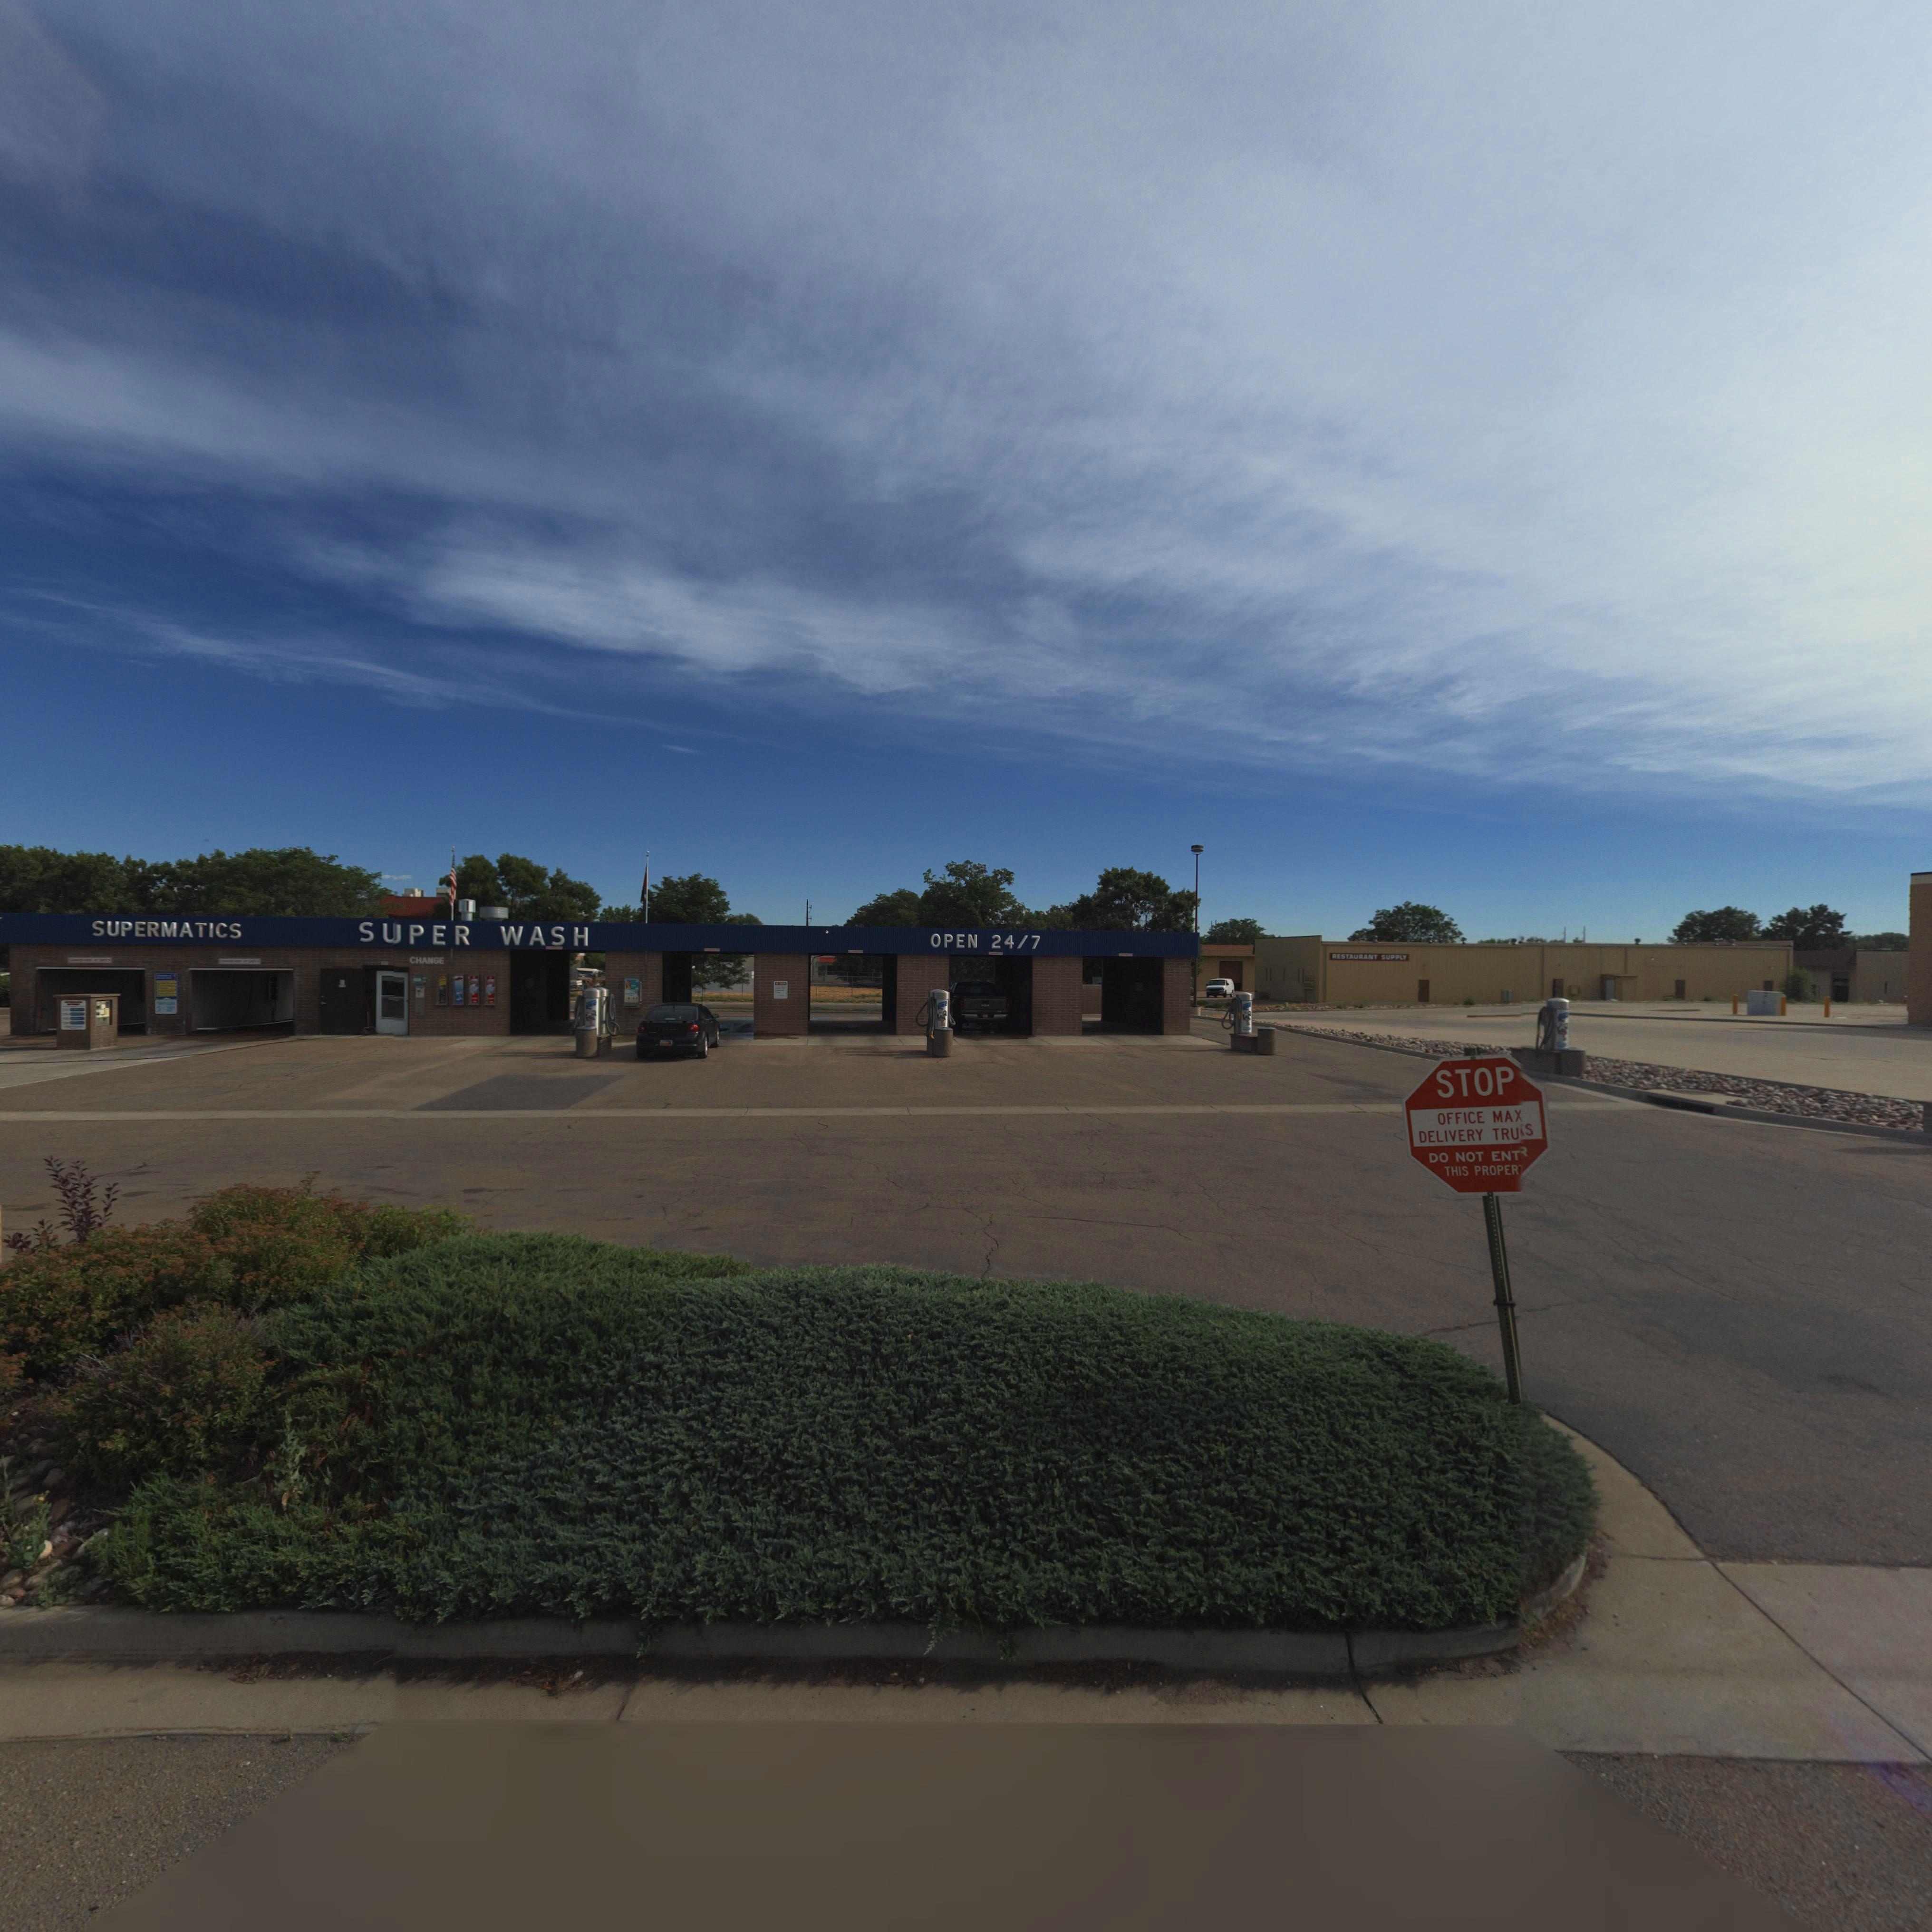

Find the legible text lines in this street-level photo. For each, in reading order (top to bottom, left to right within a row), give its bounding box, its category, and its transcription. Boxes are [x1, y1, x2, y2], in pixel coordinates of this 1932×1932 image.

[359, 922, 588, 946] BusinessName: SUPER WASH
[1437, 1109, 1522, 1125] BusinessName: OFFICE MAX